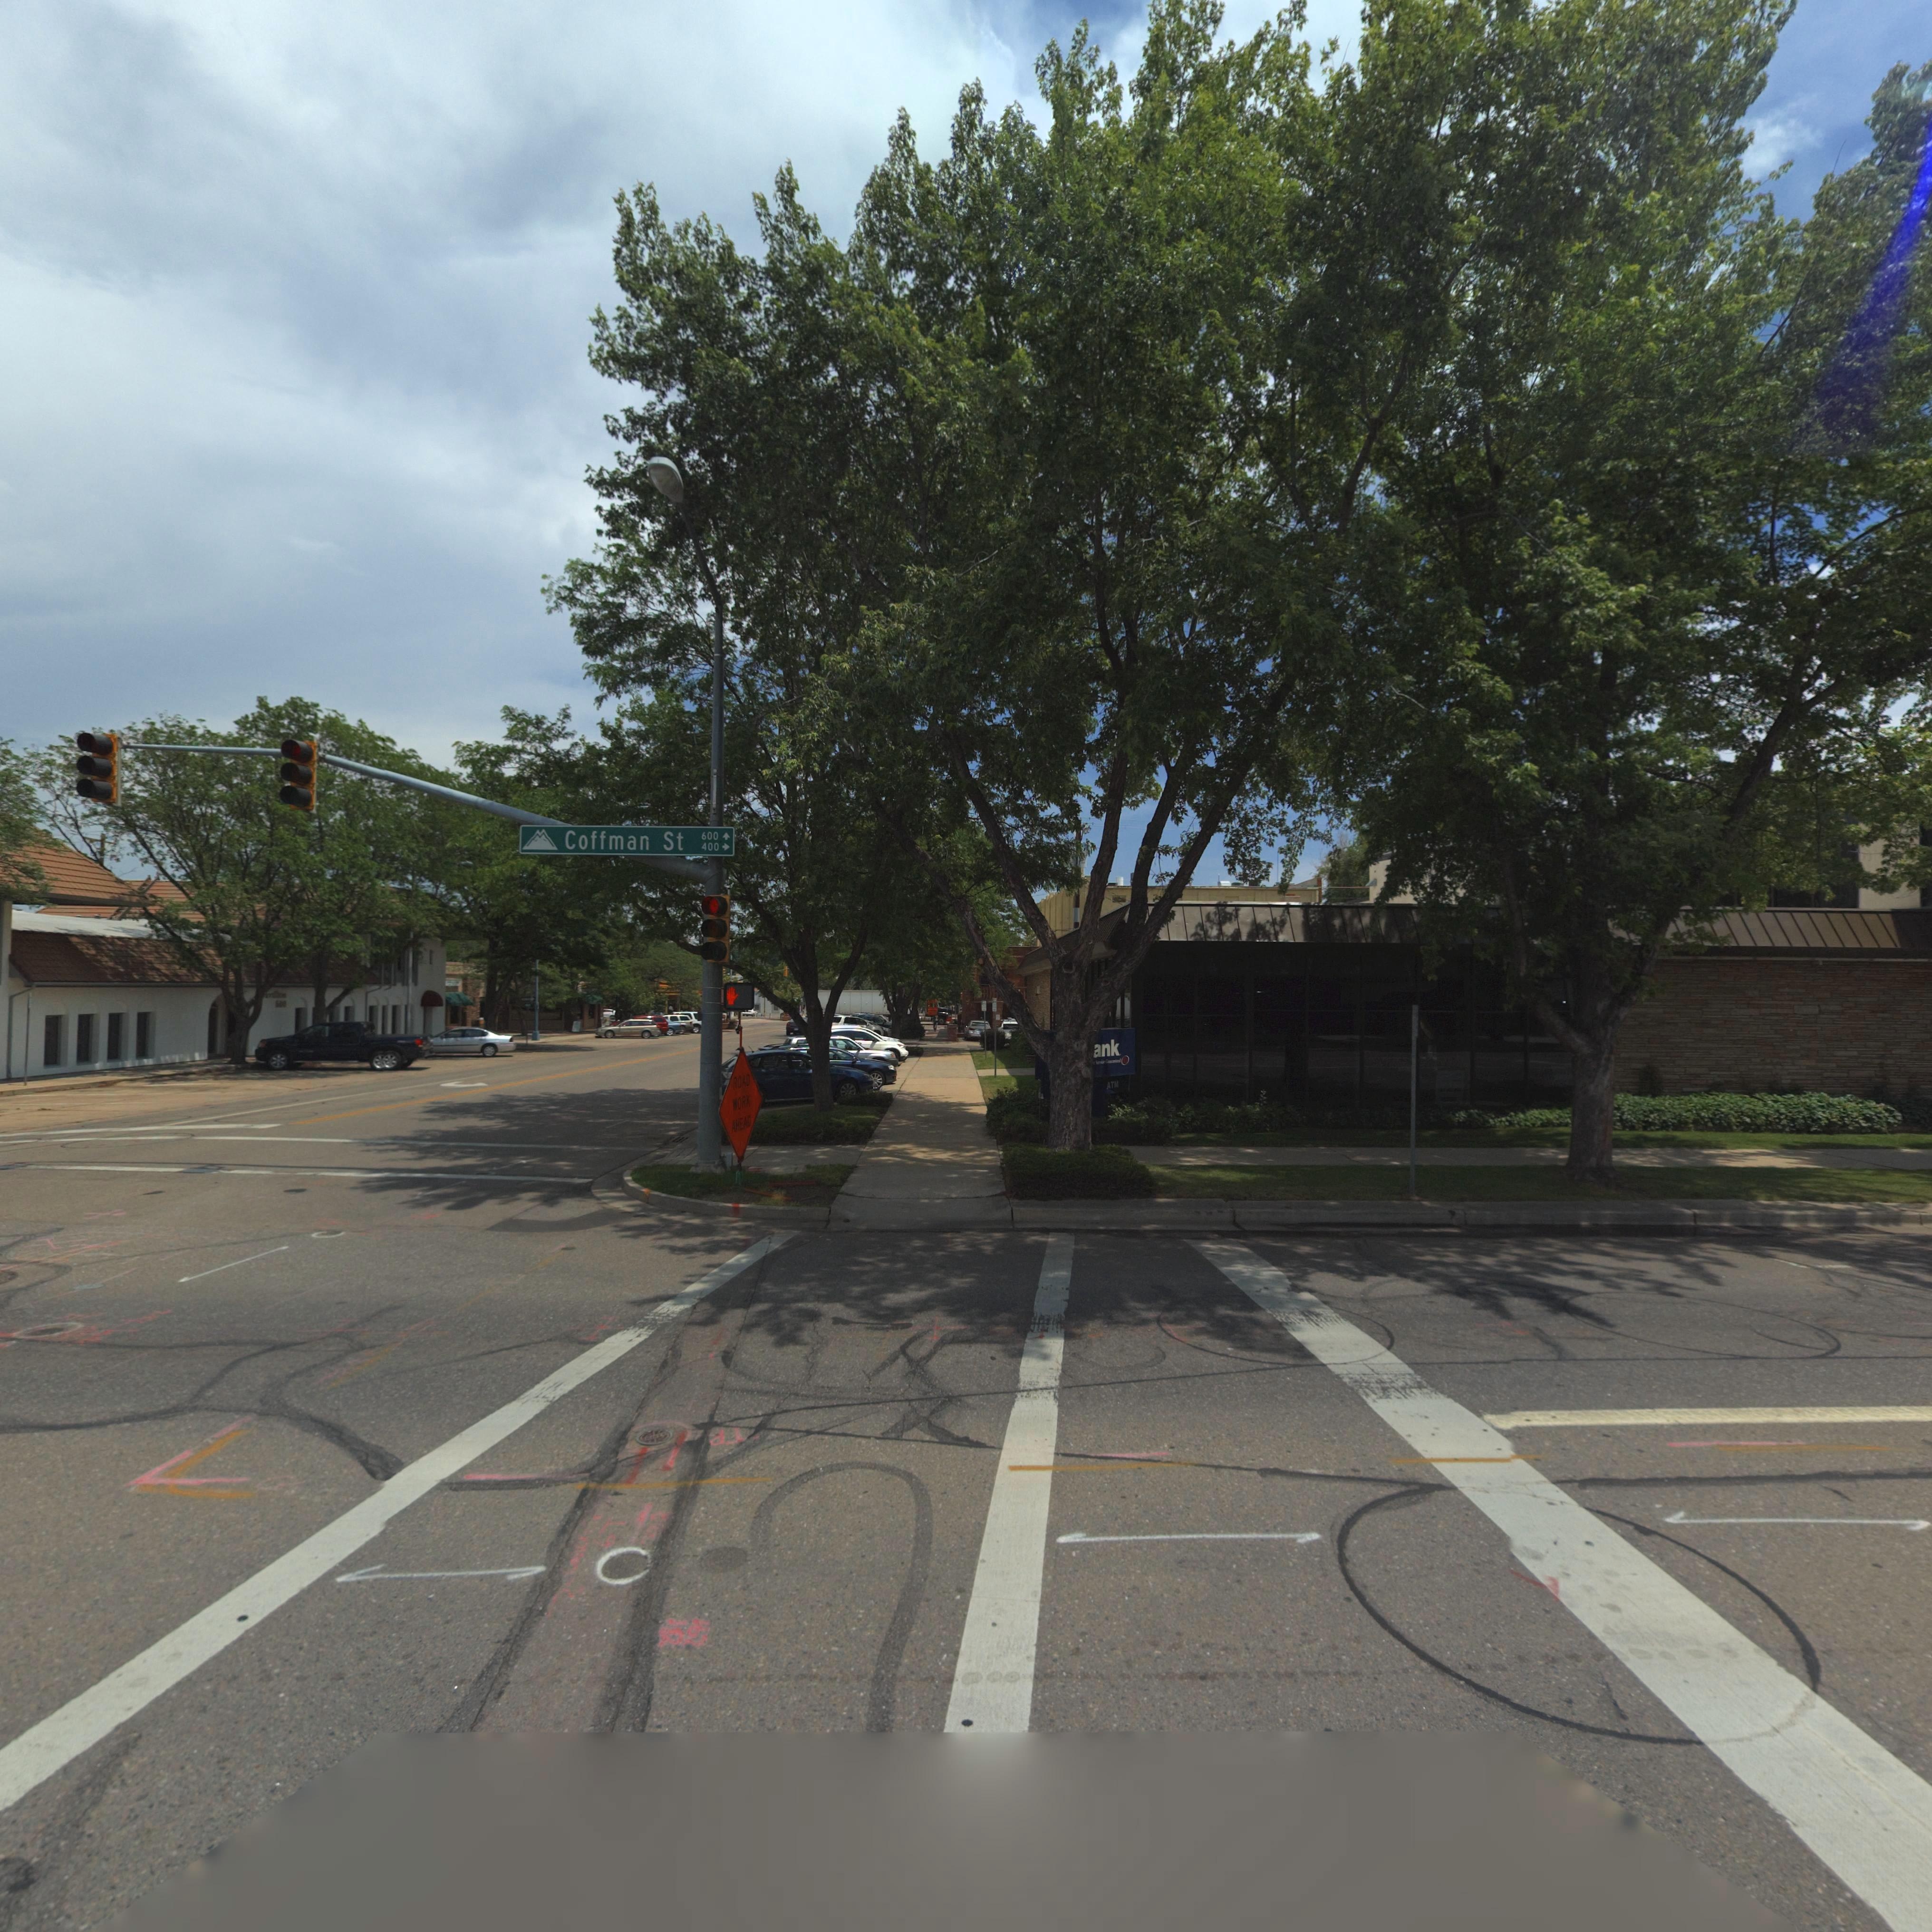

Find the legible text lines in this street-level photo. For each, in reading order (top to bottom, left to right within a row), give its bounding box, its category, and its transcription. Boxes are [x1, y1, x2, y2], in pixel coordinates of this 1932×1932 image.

[564, 830, 684, 850] StreetName: Coffman St
[701, 831, 718, 840] StreetNumberRange: 600
[701, 842, 730, 850] StreetNumberRange: 400->
[1072, 1039, 1120, 1059] BusinessName: ***ank